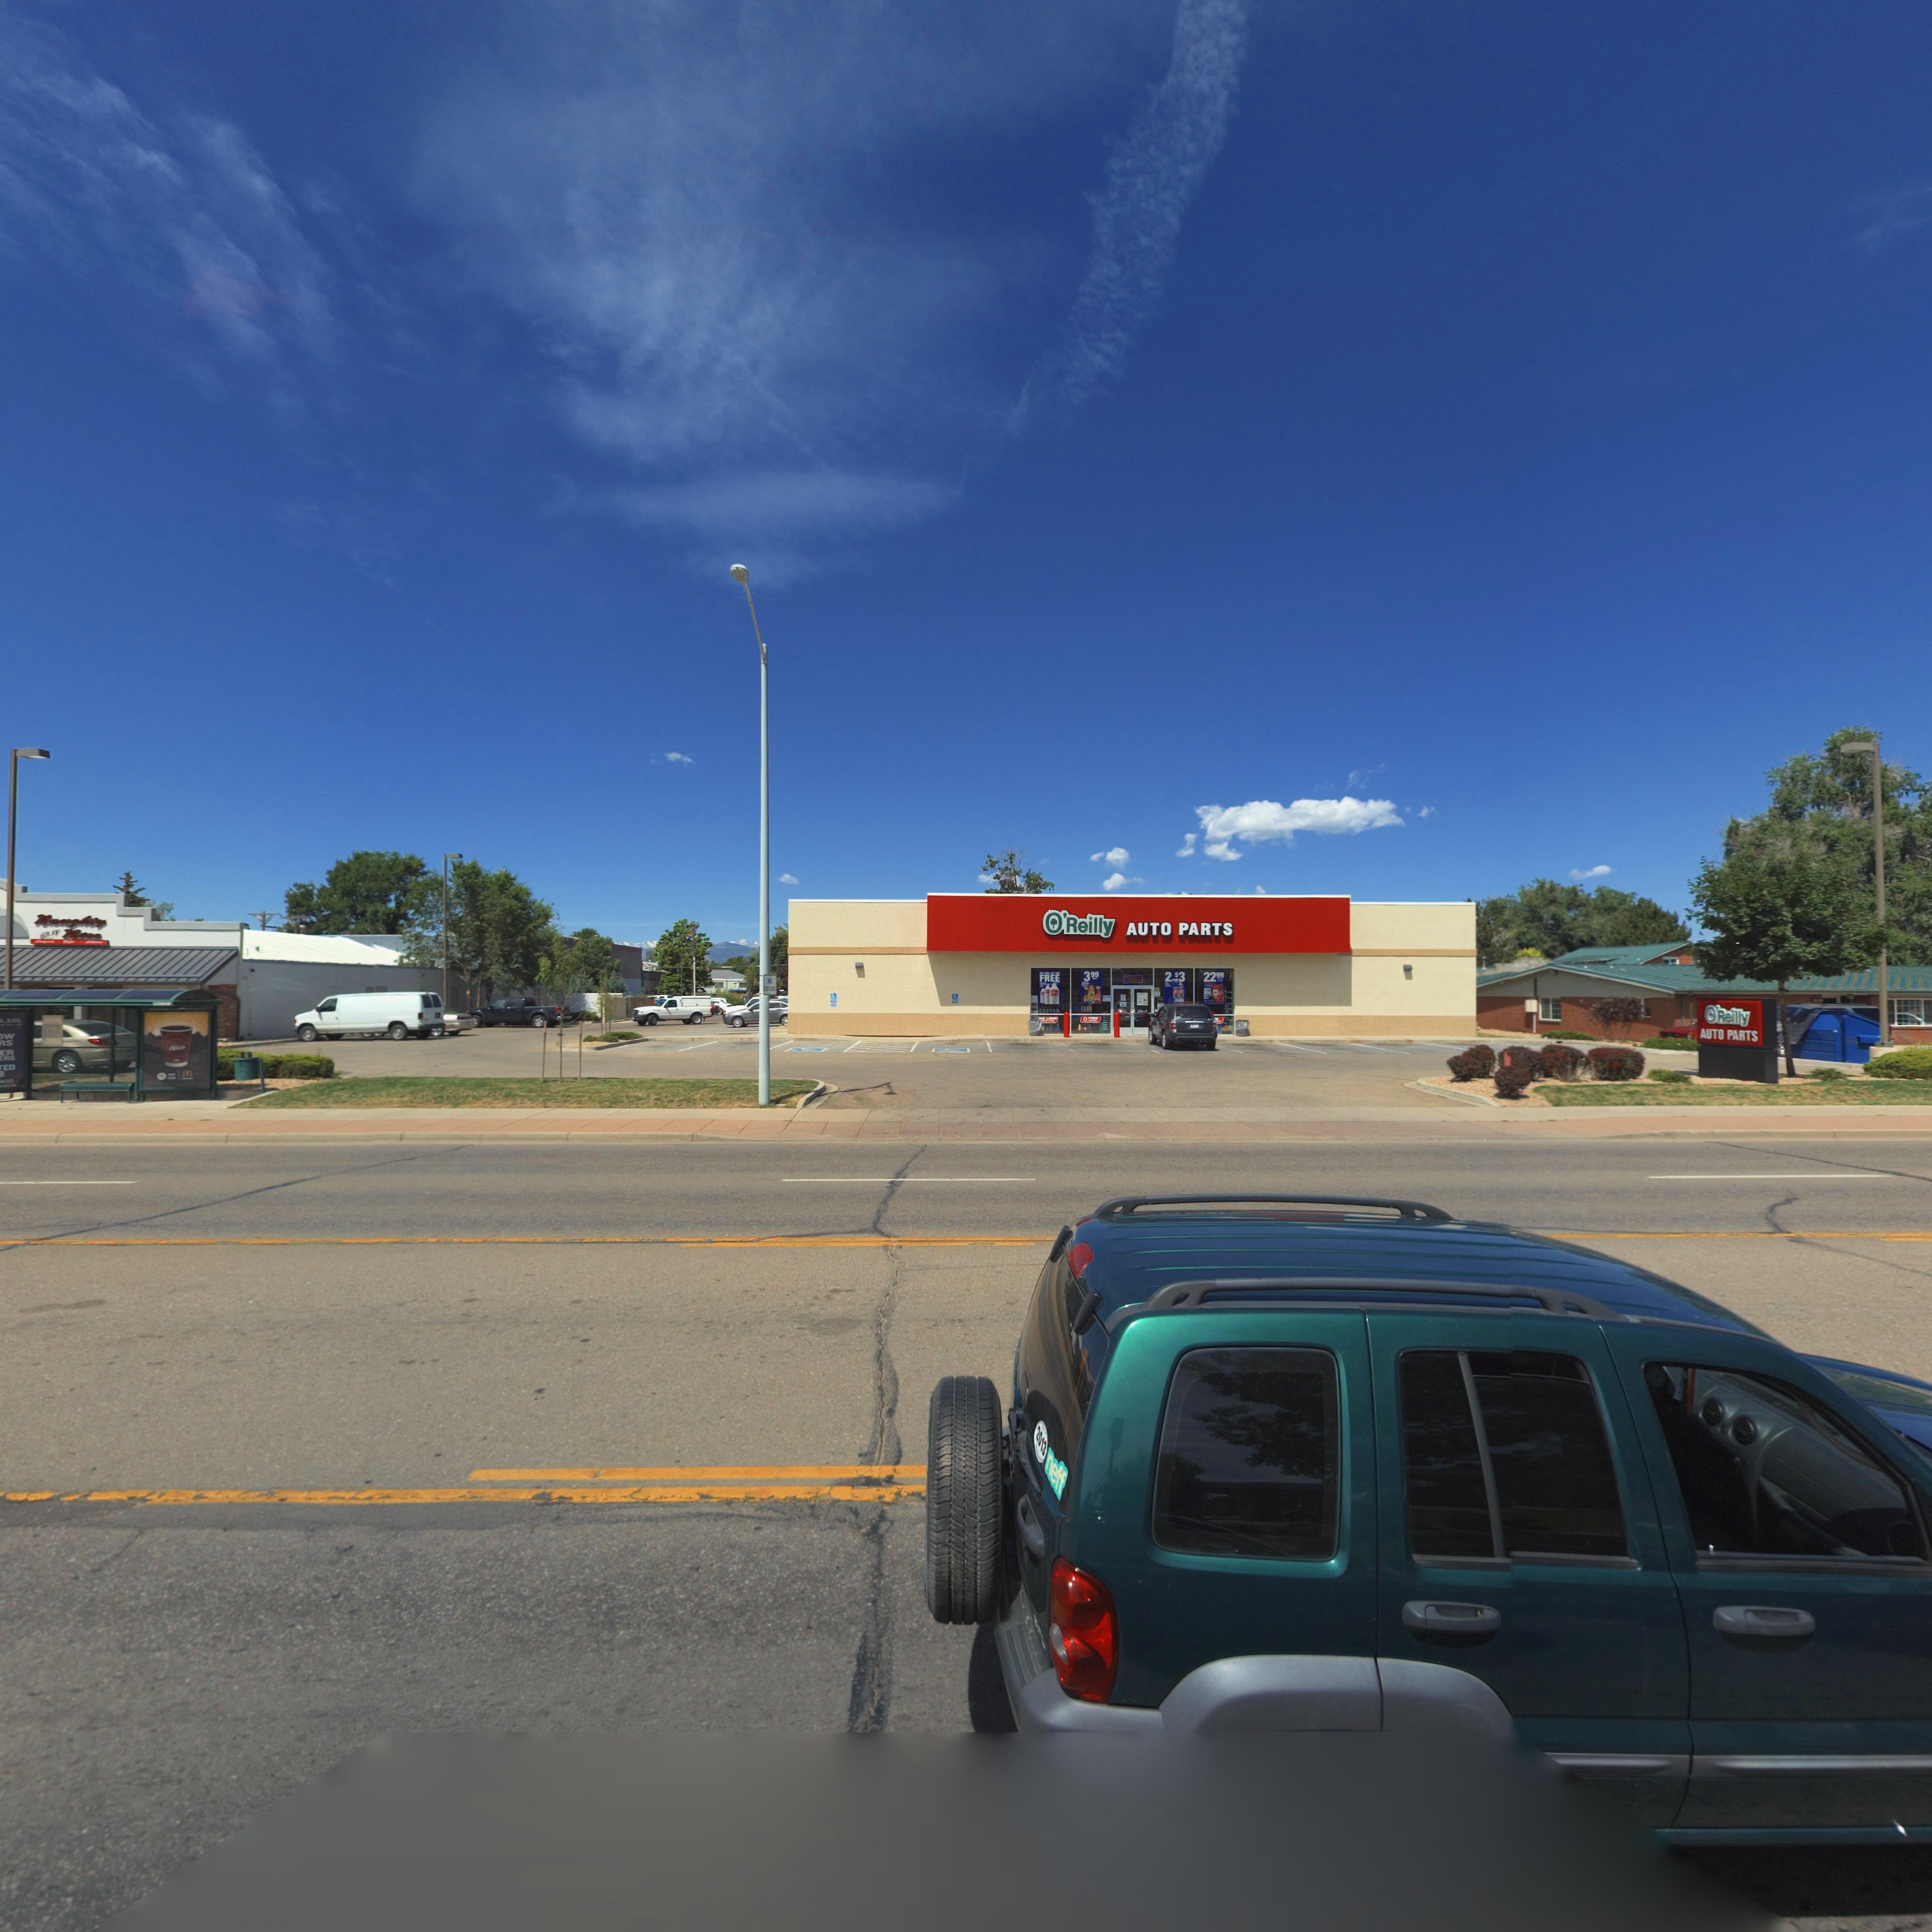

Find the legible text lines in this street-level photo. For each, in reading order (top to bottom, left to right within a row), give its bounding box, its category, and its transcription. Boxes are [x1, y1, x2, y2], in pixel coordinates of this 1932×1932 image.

[33, 913, 106, 927] BusinessName: na*gh**
[1044, 911, 1233, 937] BusinessName: *'Reilly AUTO PARTS
[39, 928, 61, 939] BusinessName: BUT
[62, 928, 102, 939] BusinessName: n***
[1705, 1004, 1749, 1025] BusinessName: *'Reilly
[1700, 1028, 1758, 1042] BusinessName: AUTO PARTS